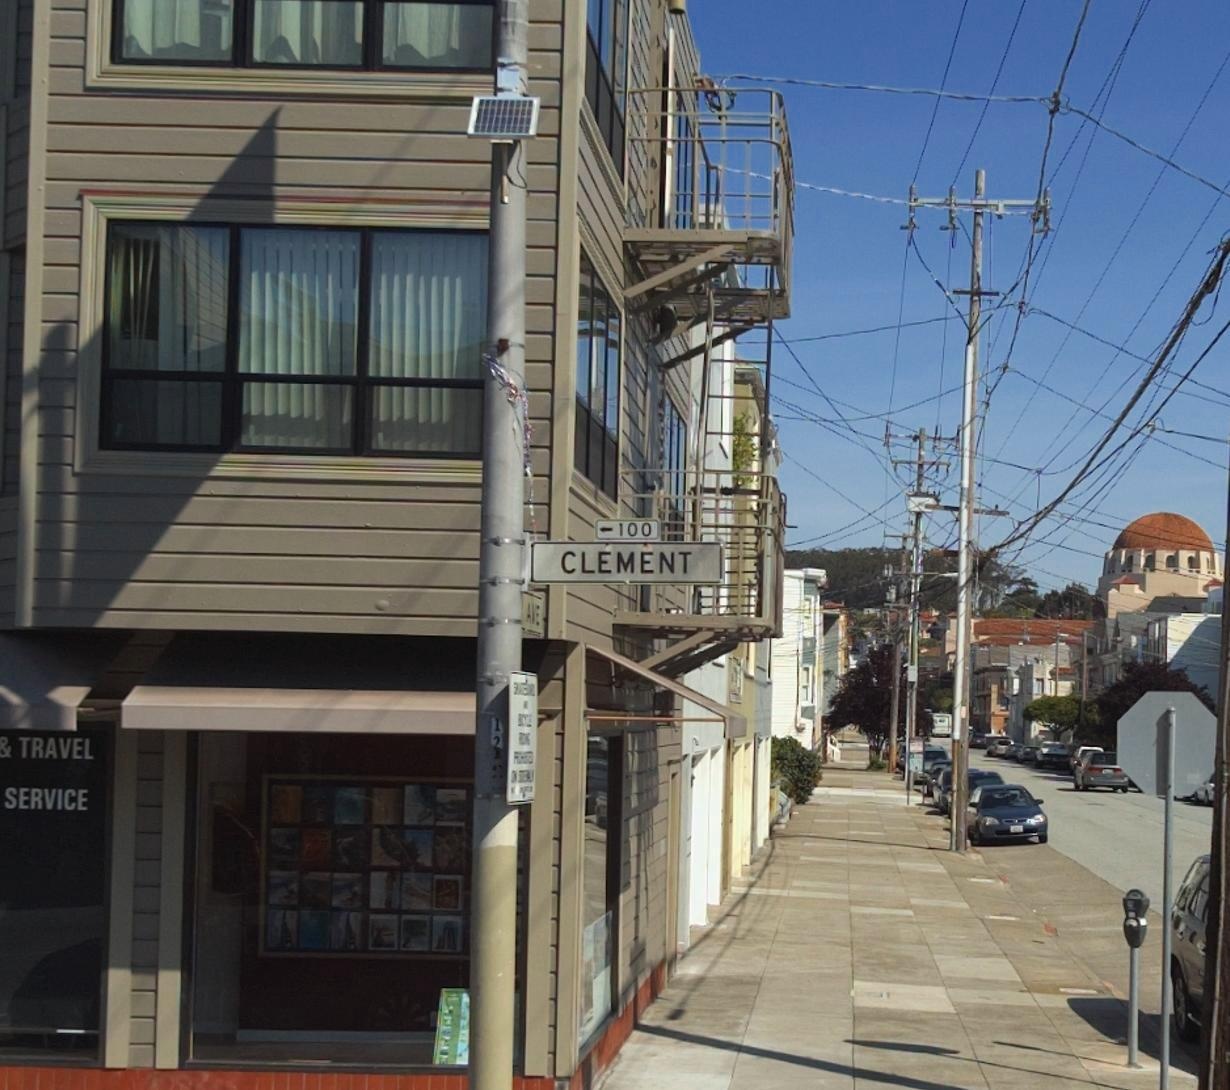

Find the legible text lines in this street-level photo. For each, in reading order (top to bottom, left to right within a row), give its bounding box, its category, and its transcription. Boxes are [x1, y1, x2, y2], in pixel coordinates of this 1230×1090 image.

[597, 520, 663, 540] StreetNumberRange: <-100
[555, 546, 697, 579] StreetName: CLEMENT
[522, 599, 544, 625] None: AVE
[17, 732, 101, 762] None: TRAVEL
[489, 715, 502, 750] None: 12
[2, 783, 96, 813] None: SERVICE